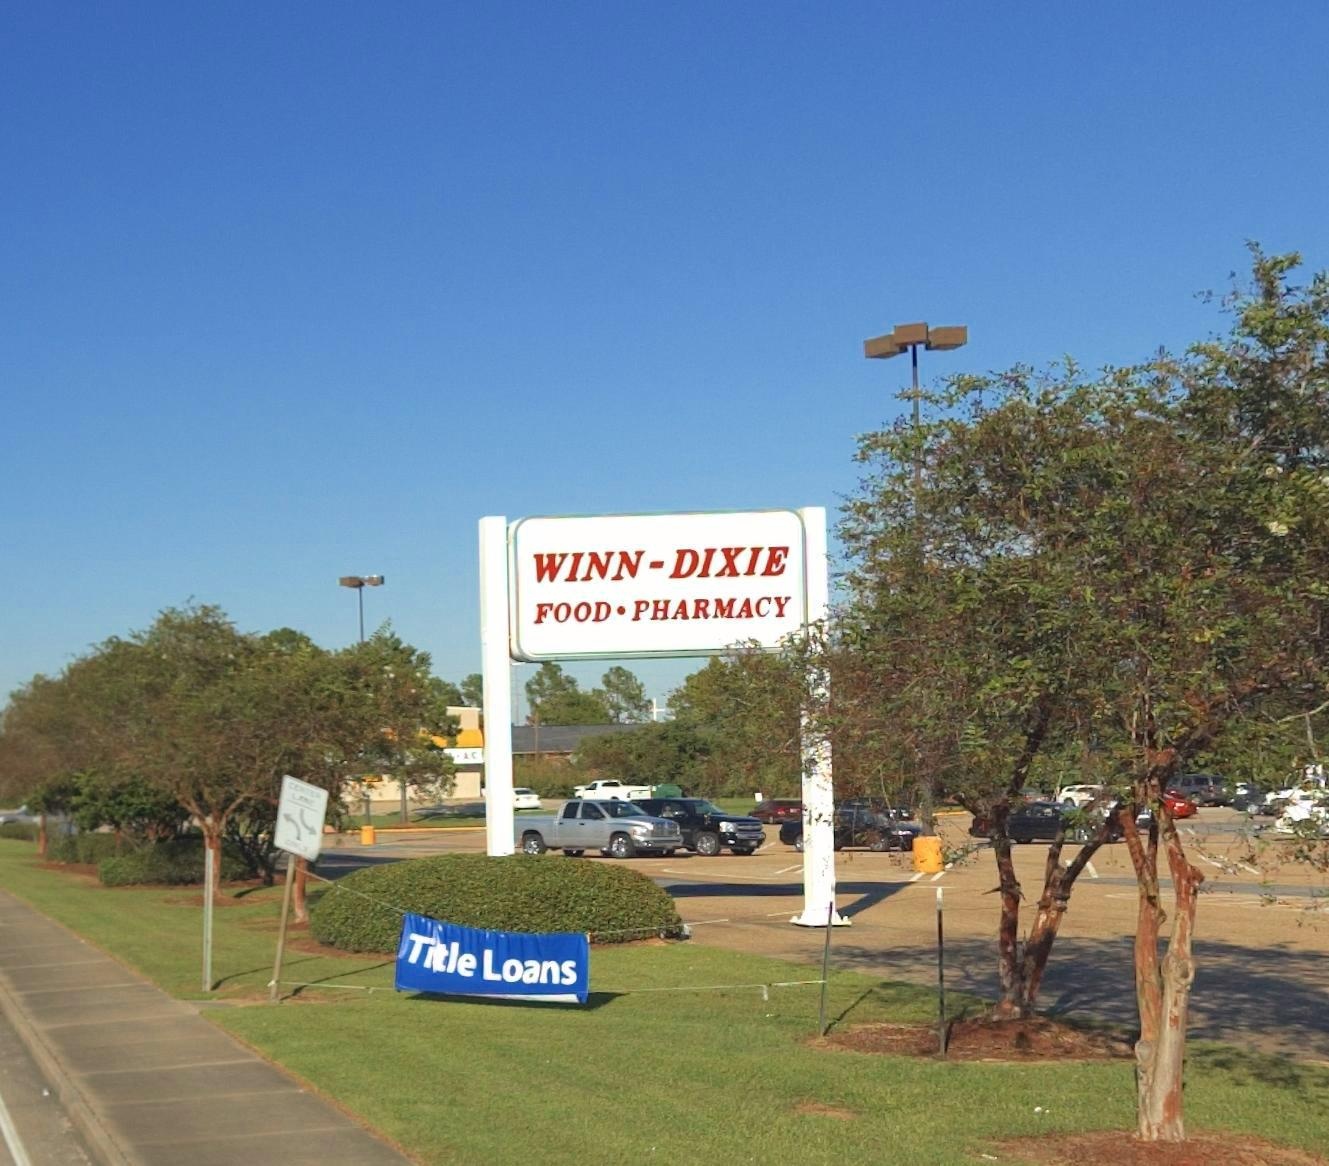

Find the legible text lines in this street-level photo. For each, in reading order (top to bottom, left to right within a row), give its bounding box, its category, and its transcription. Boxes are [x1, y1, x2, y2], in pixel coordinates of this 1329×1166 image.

[532, 544, 790, 584] BusinessName: WINN-DIXIE
[532, 595, 792, 626] None: FOOD - PHARMACY
[462, 751, 478, 760] None: AC
[289, 791, 318, 810] None: LANE
[286, 779, 324, 803] None: CENTER
[282, 836, 312, 857] None: ONLY
[405, 930, 579, 987] None: Ti*la Loans